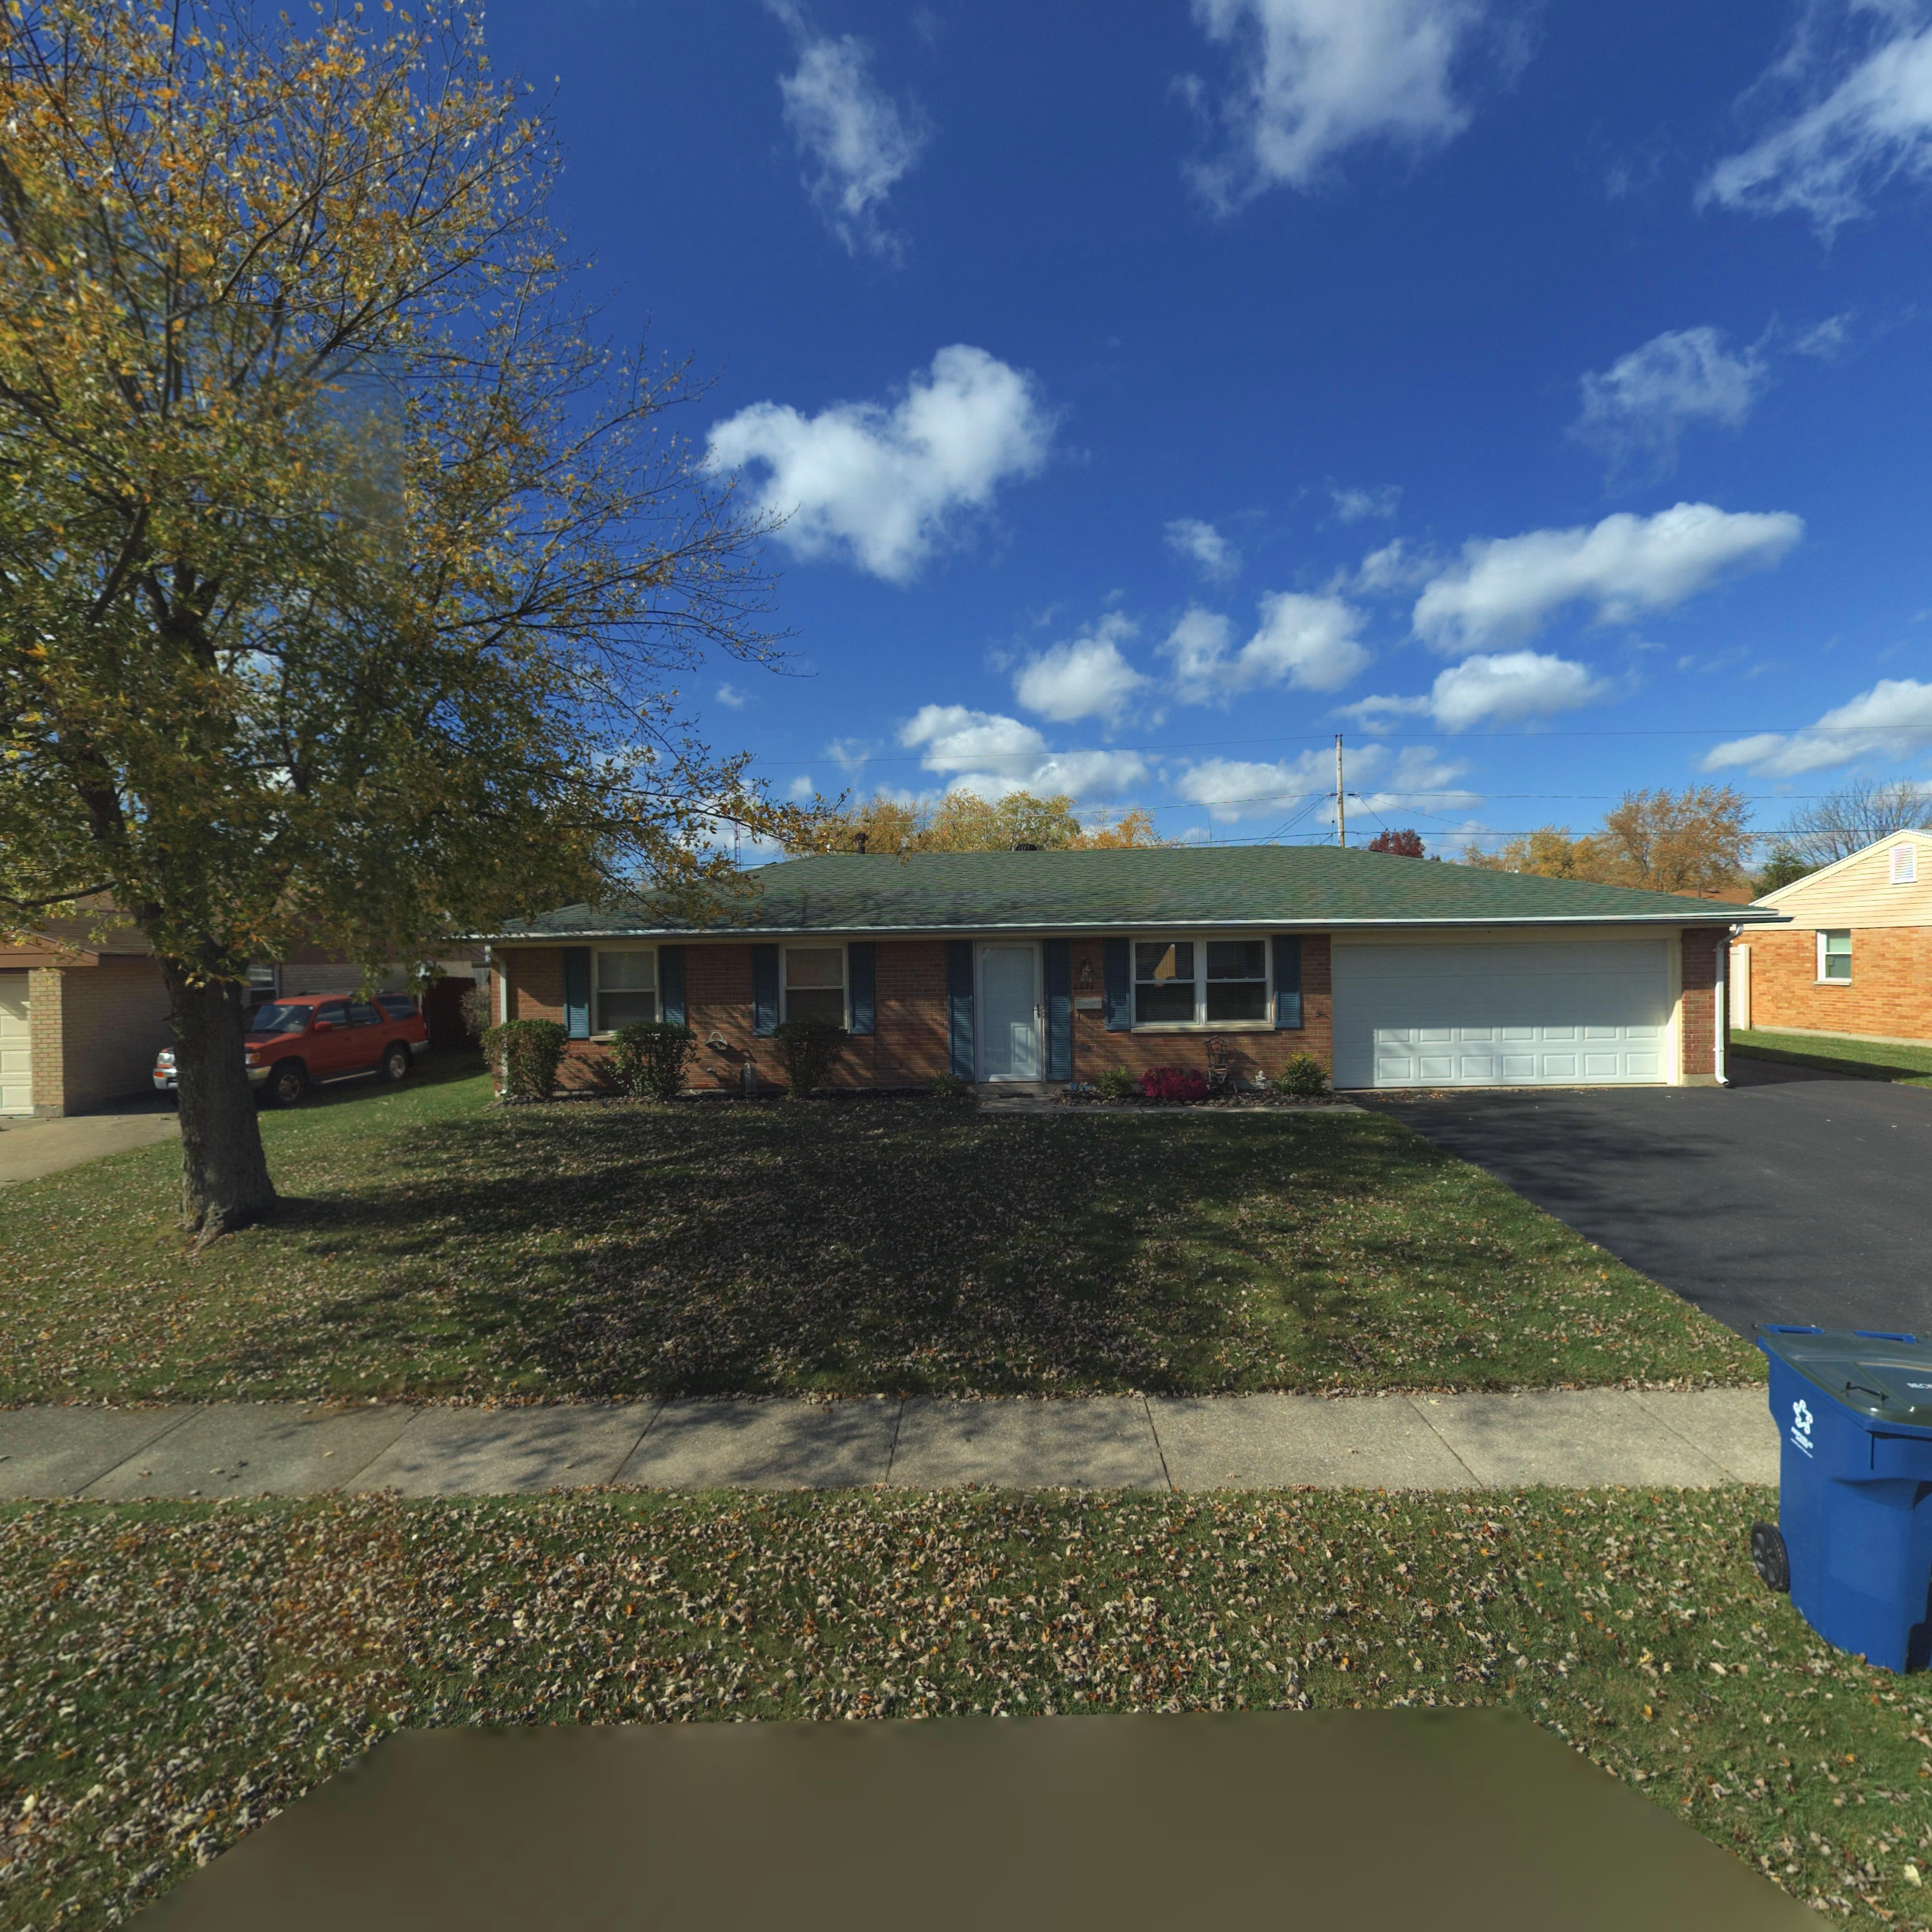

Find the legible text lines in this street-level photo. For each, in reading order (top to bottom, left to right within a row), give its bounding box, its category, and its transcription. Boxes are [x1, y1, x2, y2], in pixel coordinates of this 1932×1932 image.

[1073, 983, 1094, 991] StreetNumber: 6671